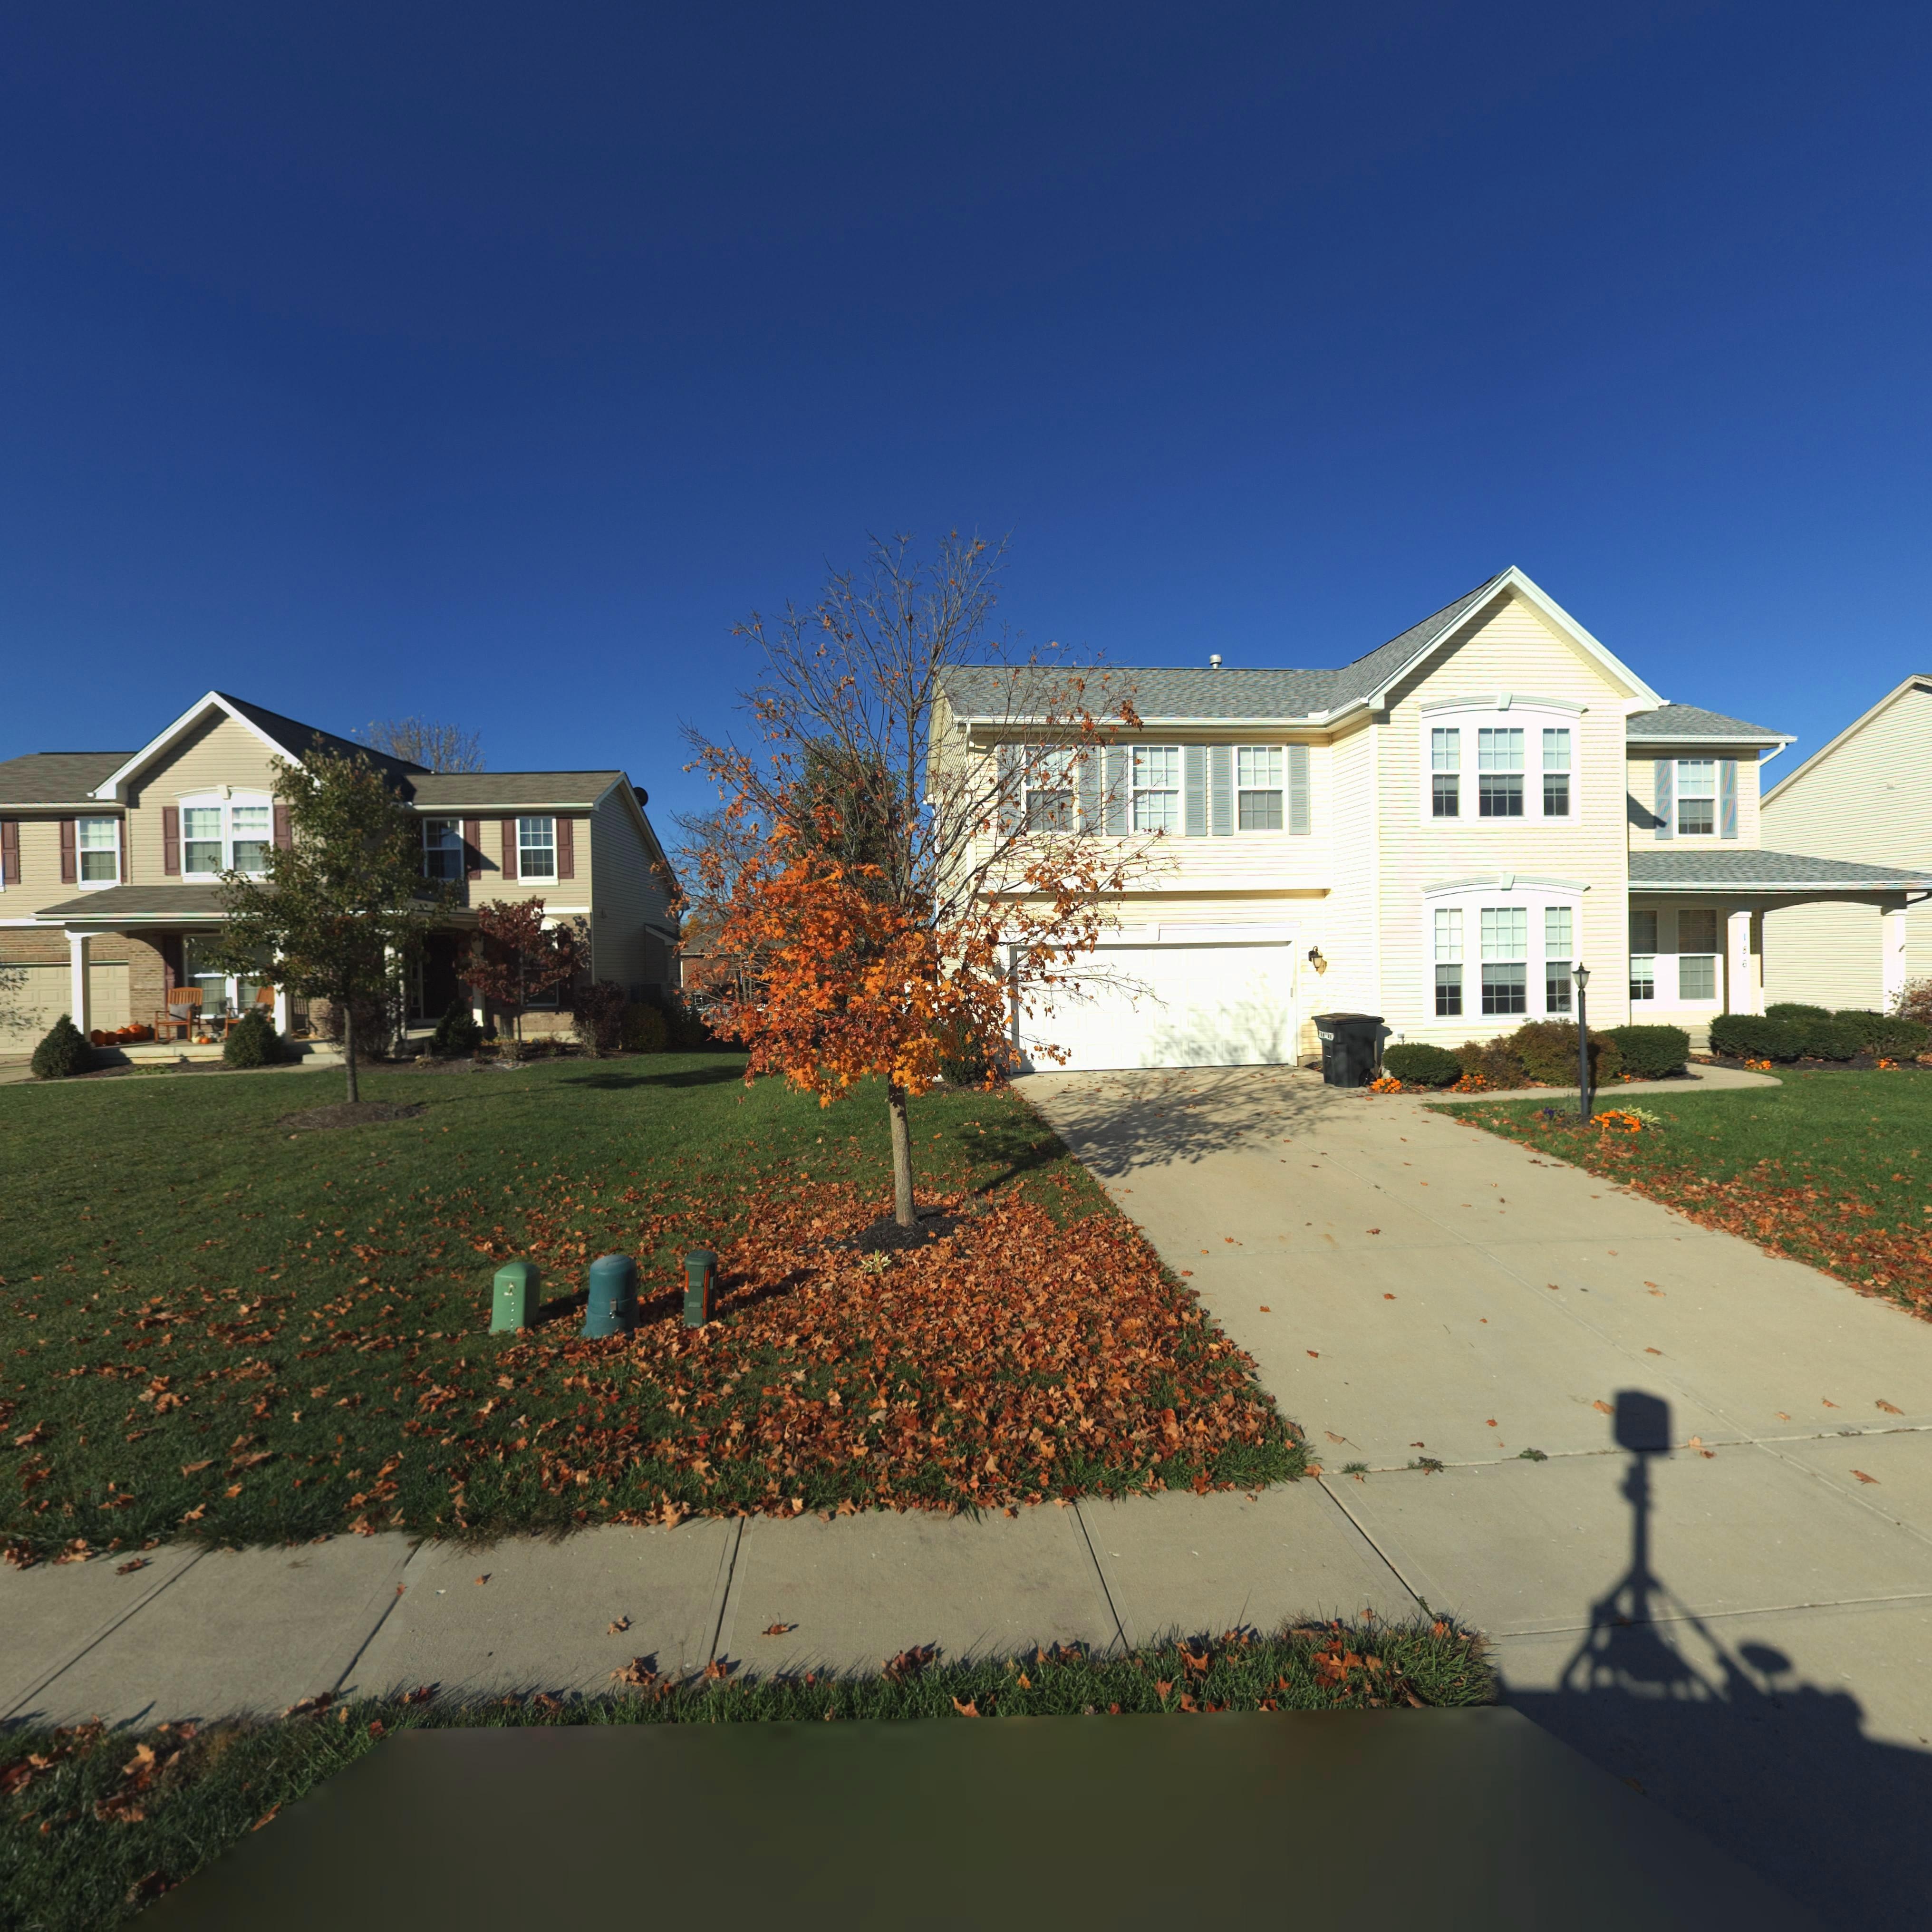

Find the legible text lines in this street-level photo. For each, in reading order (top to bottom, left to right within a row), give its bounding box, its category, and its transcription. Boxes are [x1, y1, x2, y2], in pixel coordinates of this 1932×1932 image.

[1741, 932, 1748, 969] StreetNumber: 186